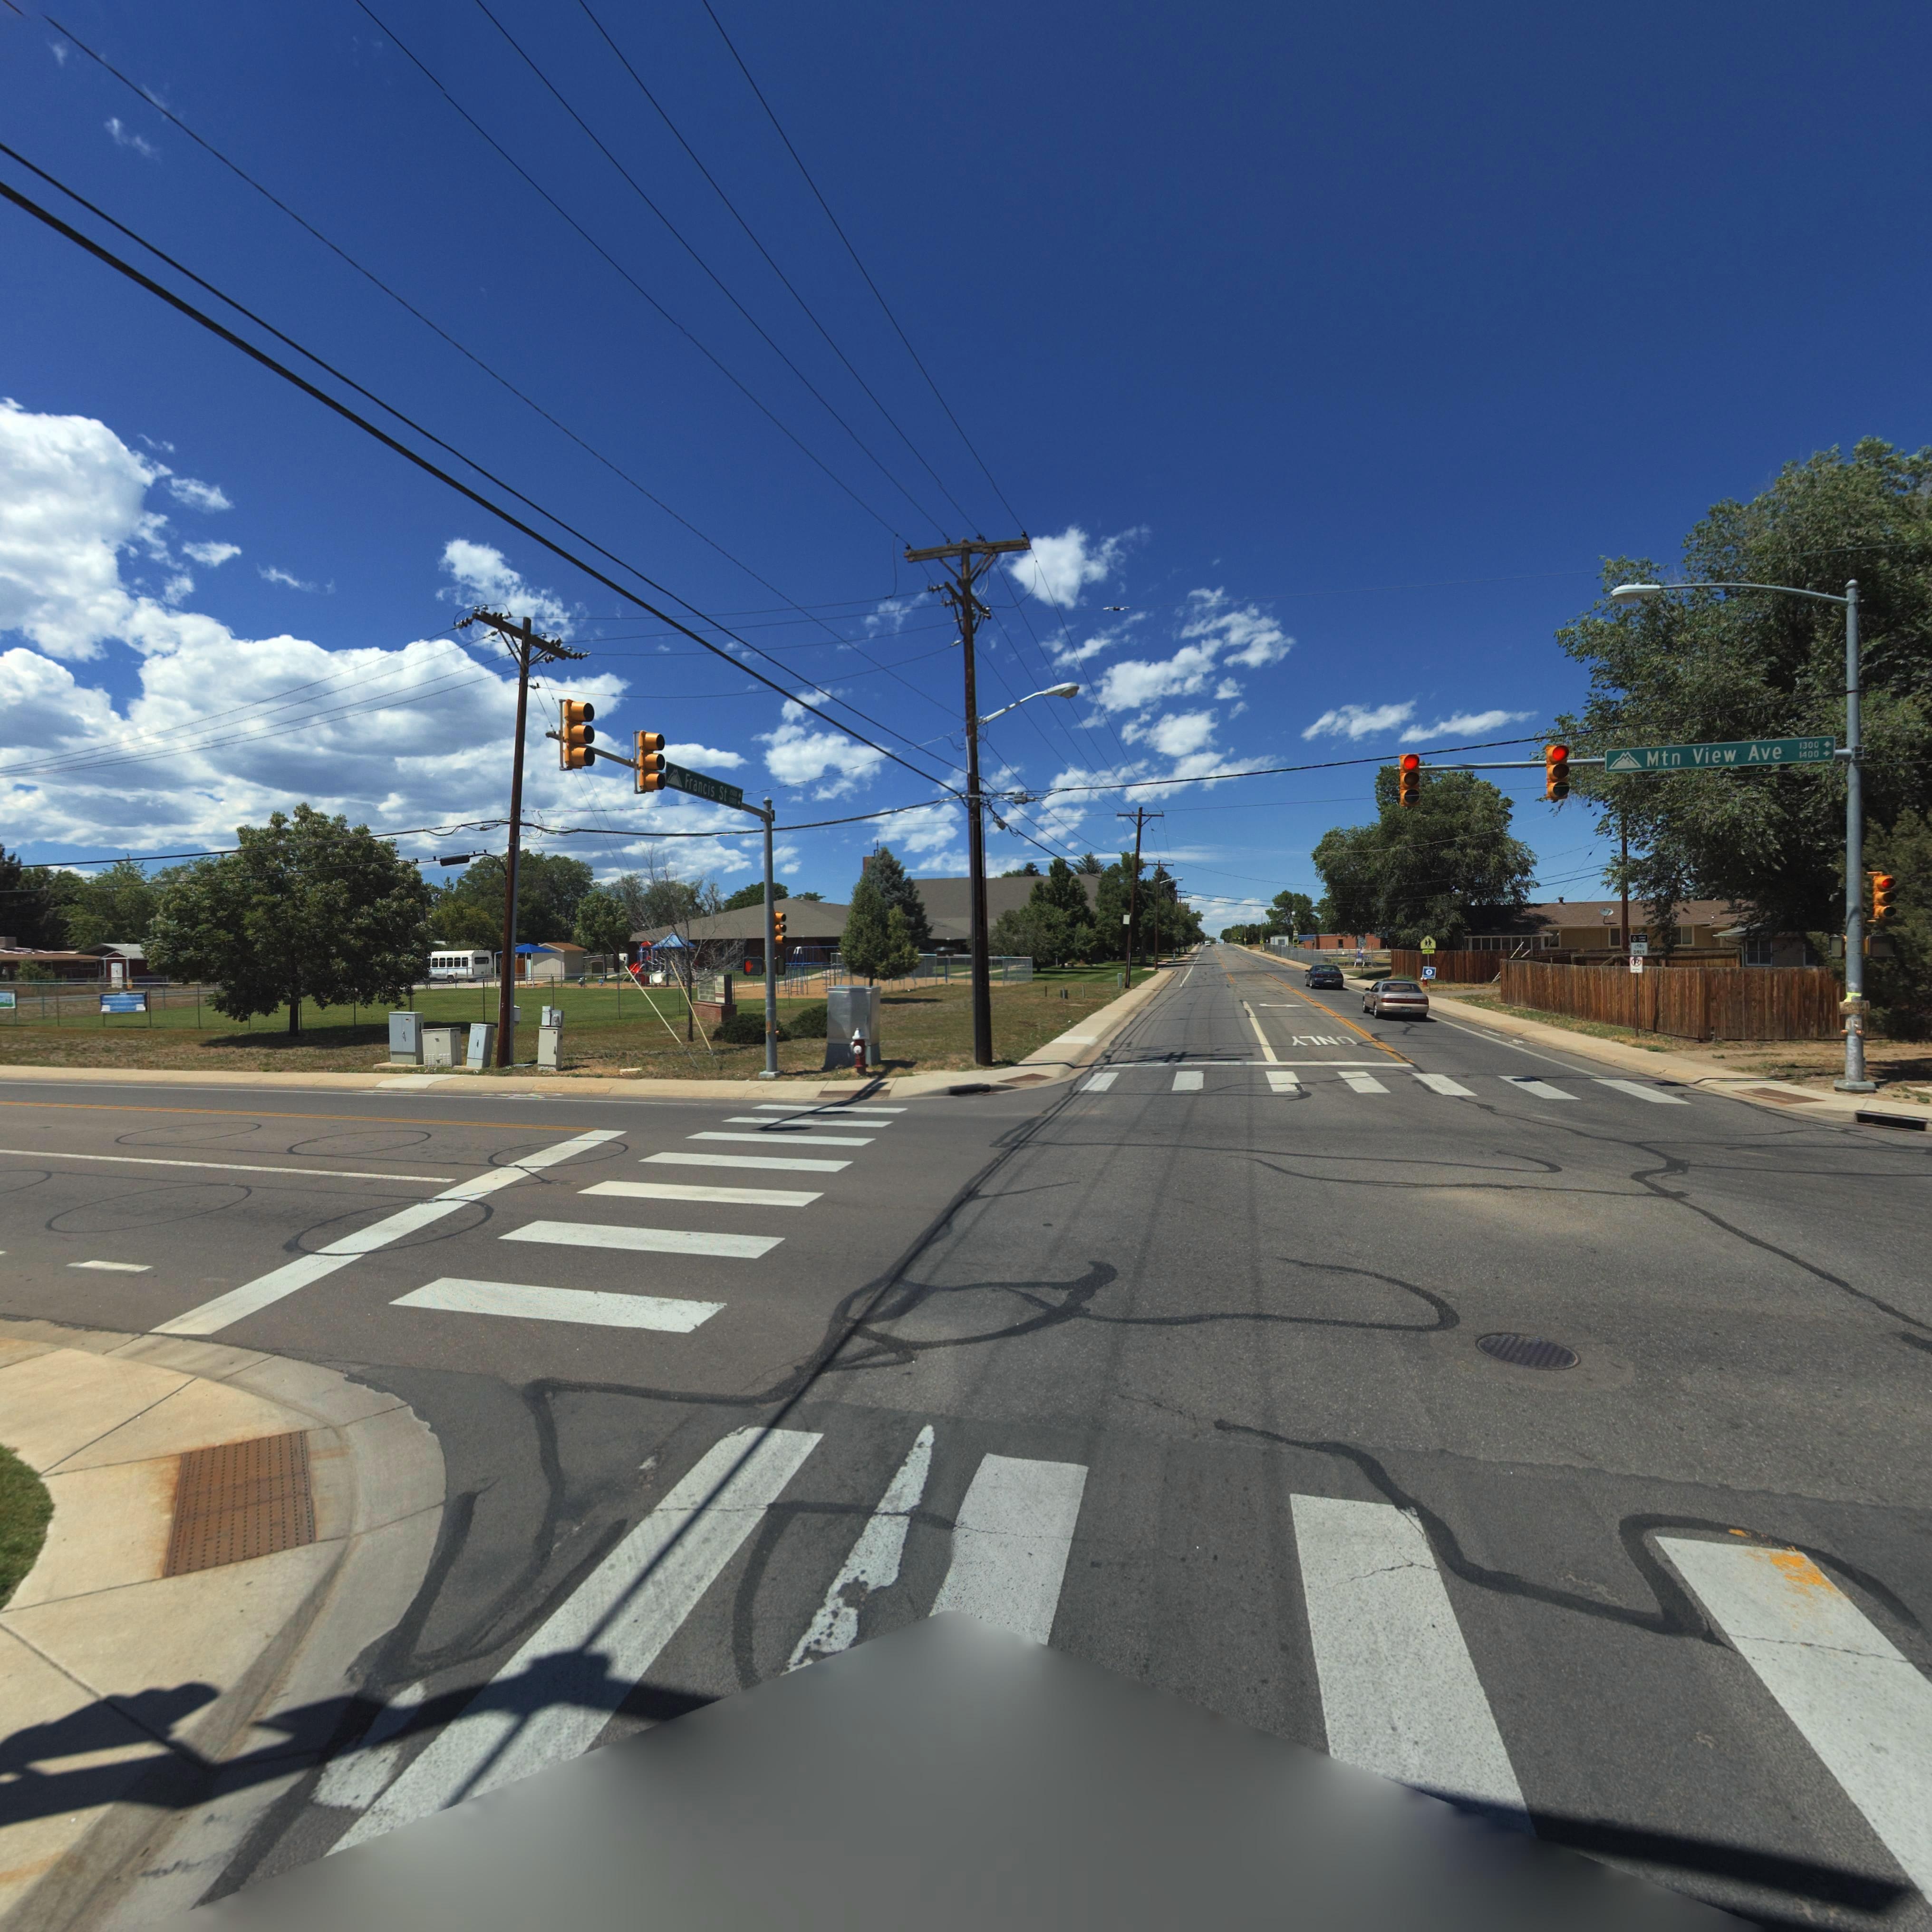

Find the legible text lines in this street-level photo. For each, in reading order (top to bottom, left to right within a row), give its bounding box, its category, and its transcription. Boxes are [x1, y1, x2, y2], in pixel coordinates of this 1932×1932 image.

[1799, 740, 1820, 749] StreetNumberRange: 1300
[1646, 744, 1782, 767] StreetName: Mtn View Ave
[1798, 750, 1831, 759] StreetNumberRange: 1400 ->
[684, 773, 727, 802] StreetName: Francis St
[729, 789, 737, 797] StreetNumberRange: 1500
[728, 796, 741, 805] StreetNumberRange: 1300 ->